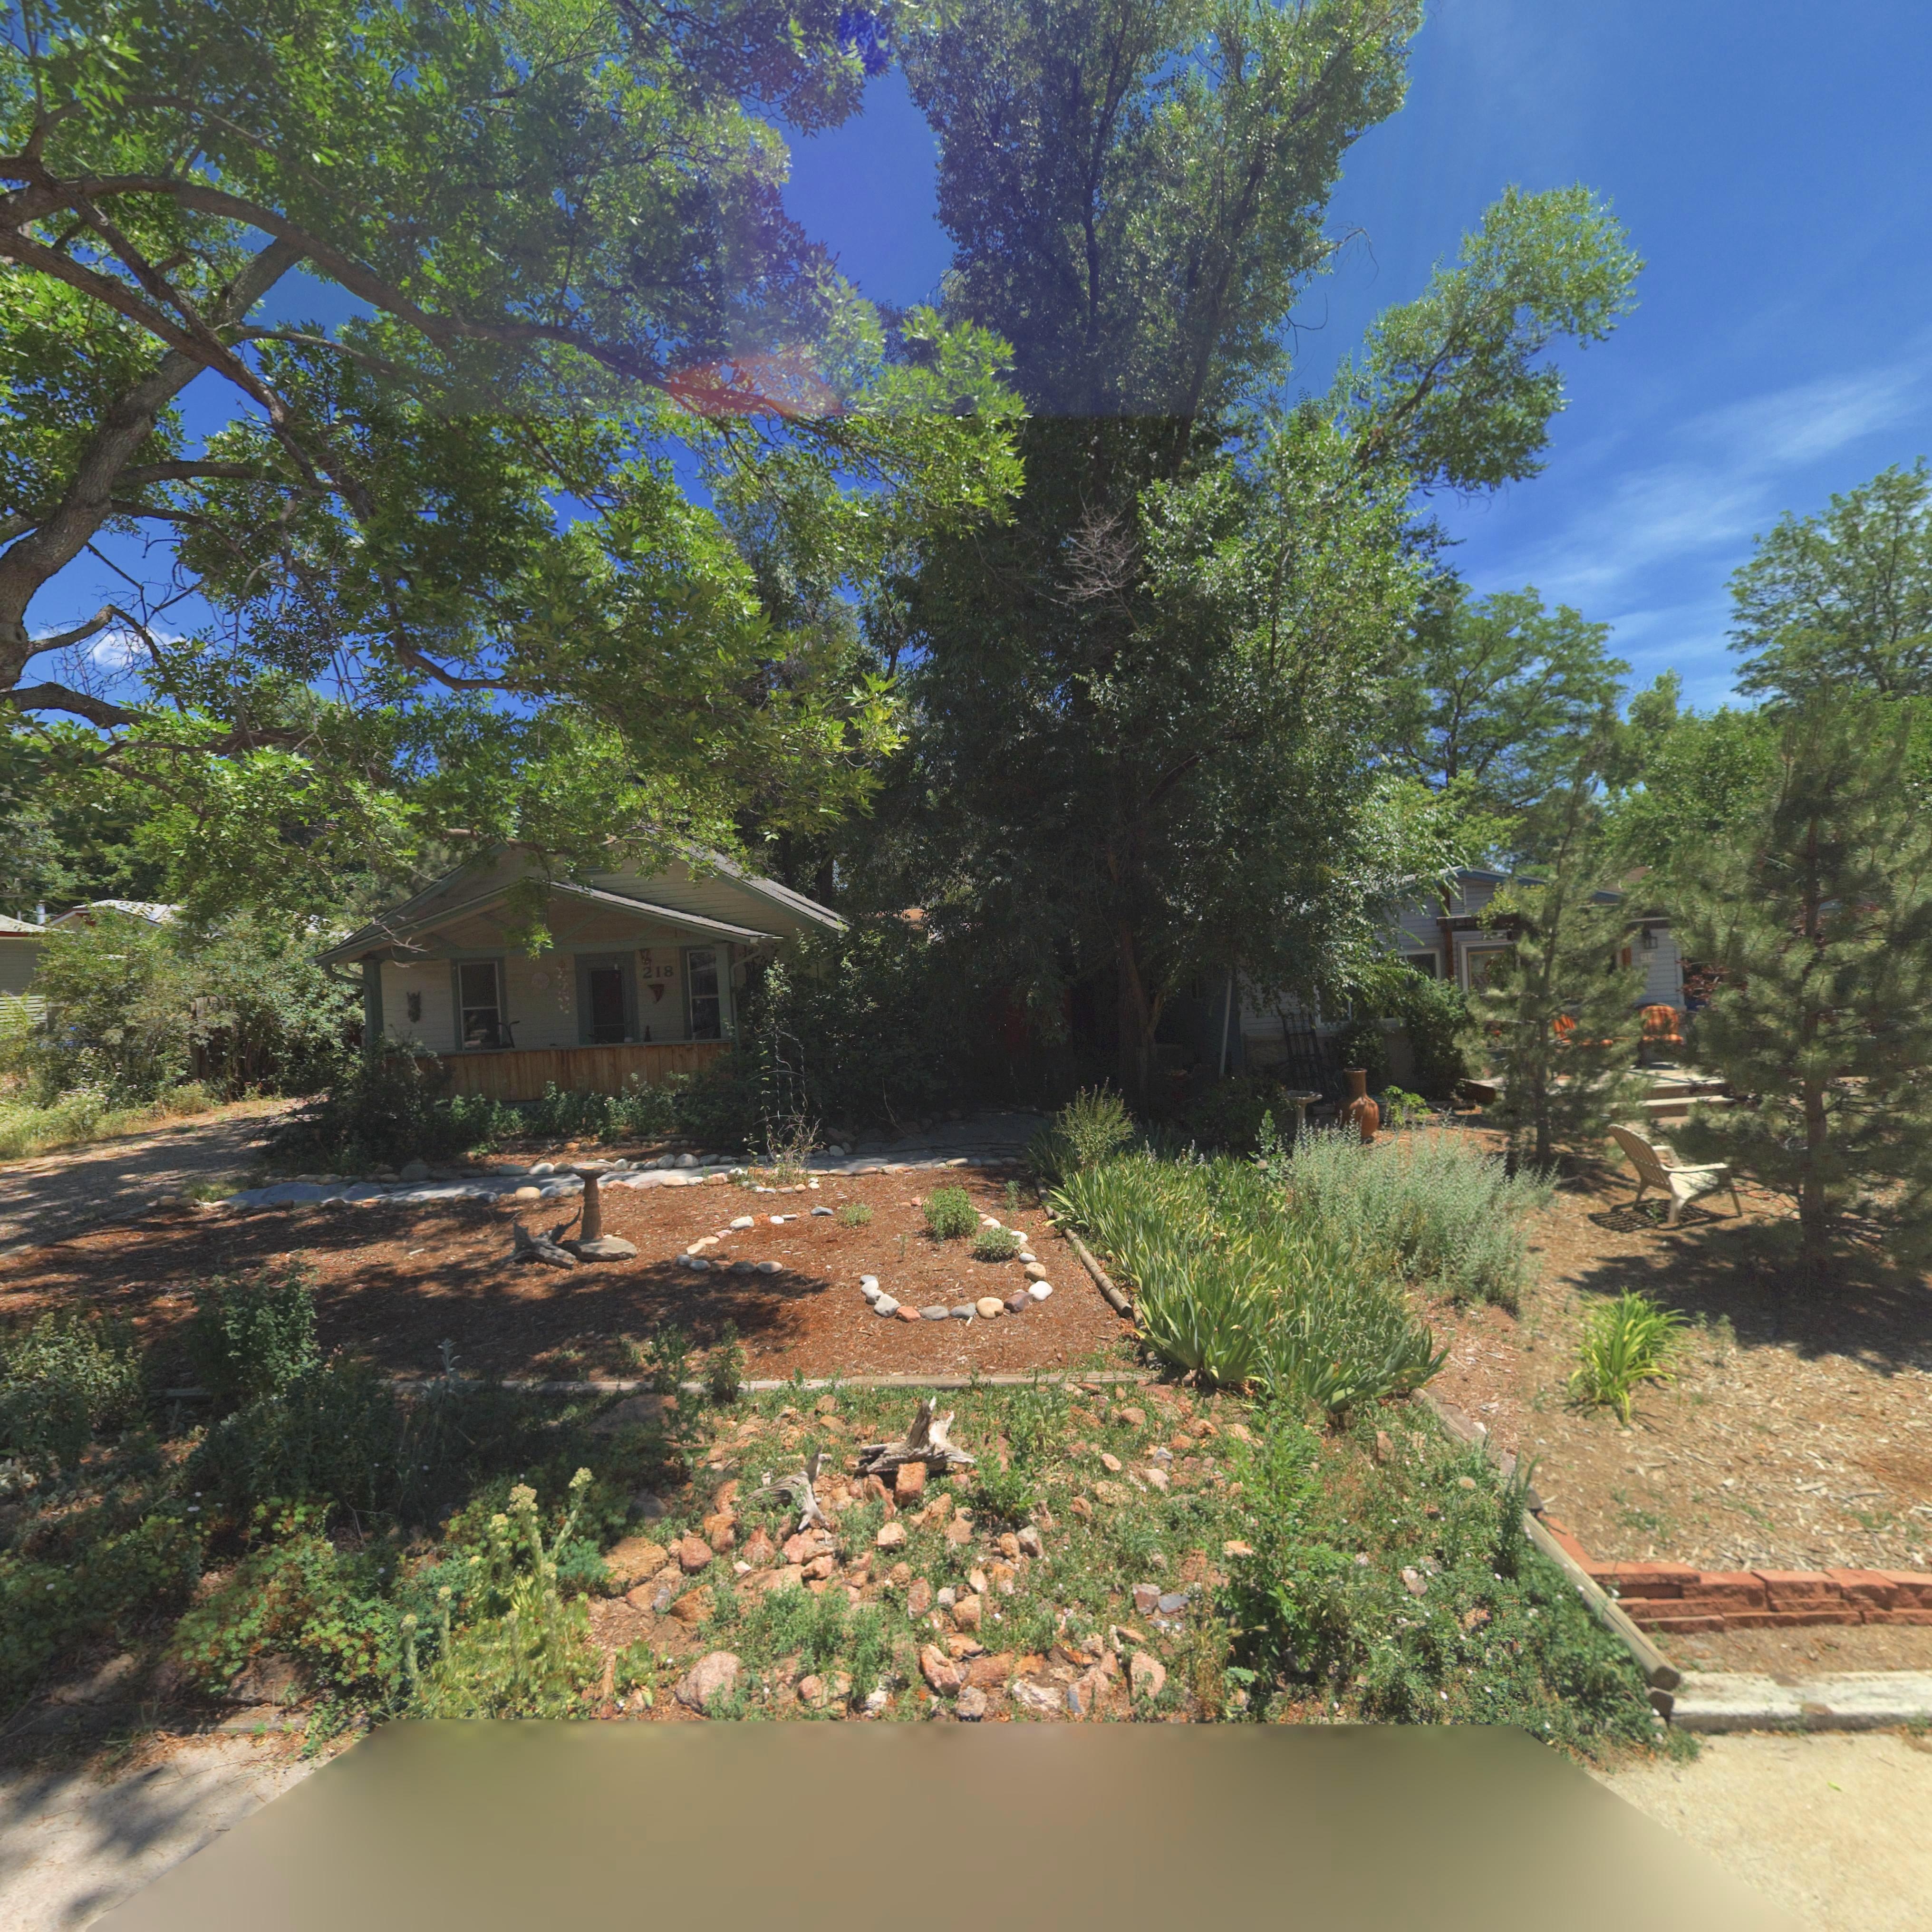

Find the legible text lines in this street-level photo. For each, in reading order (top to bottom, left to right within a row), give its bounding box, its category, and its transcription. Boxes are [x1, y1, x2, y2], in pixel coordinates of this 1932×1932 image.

[643, 965, 673, 978] StreetNumber: 218